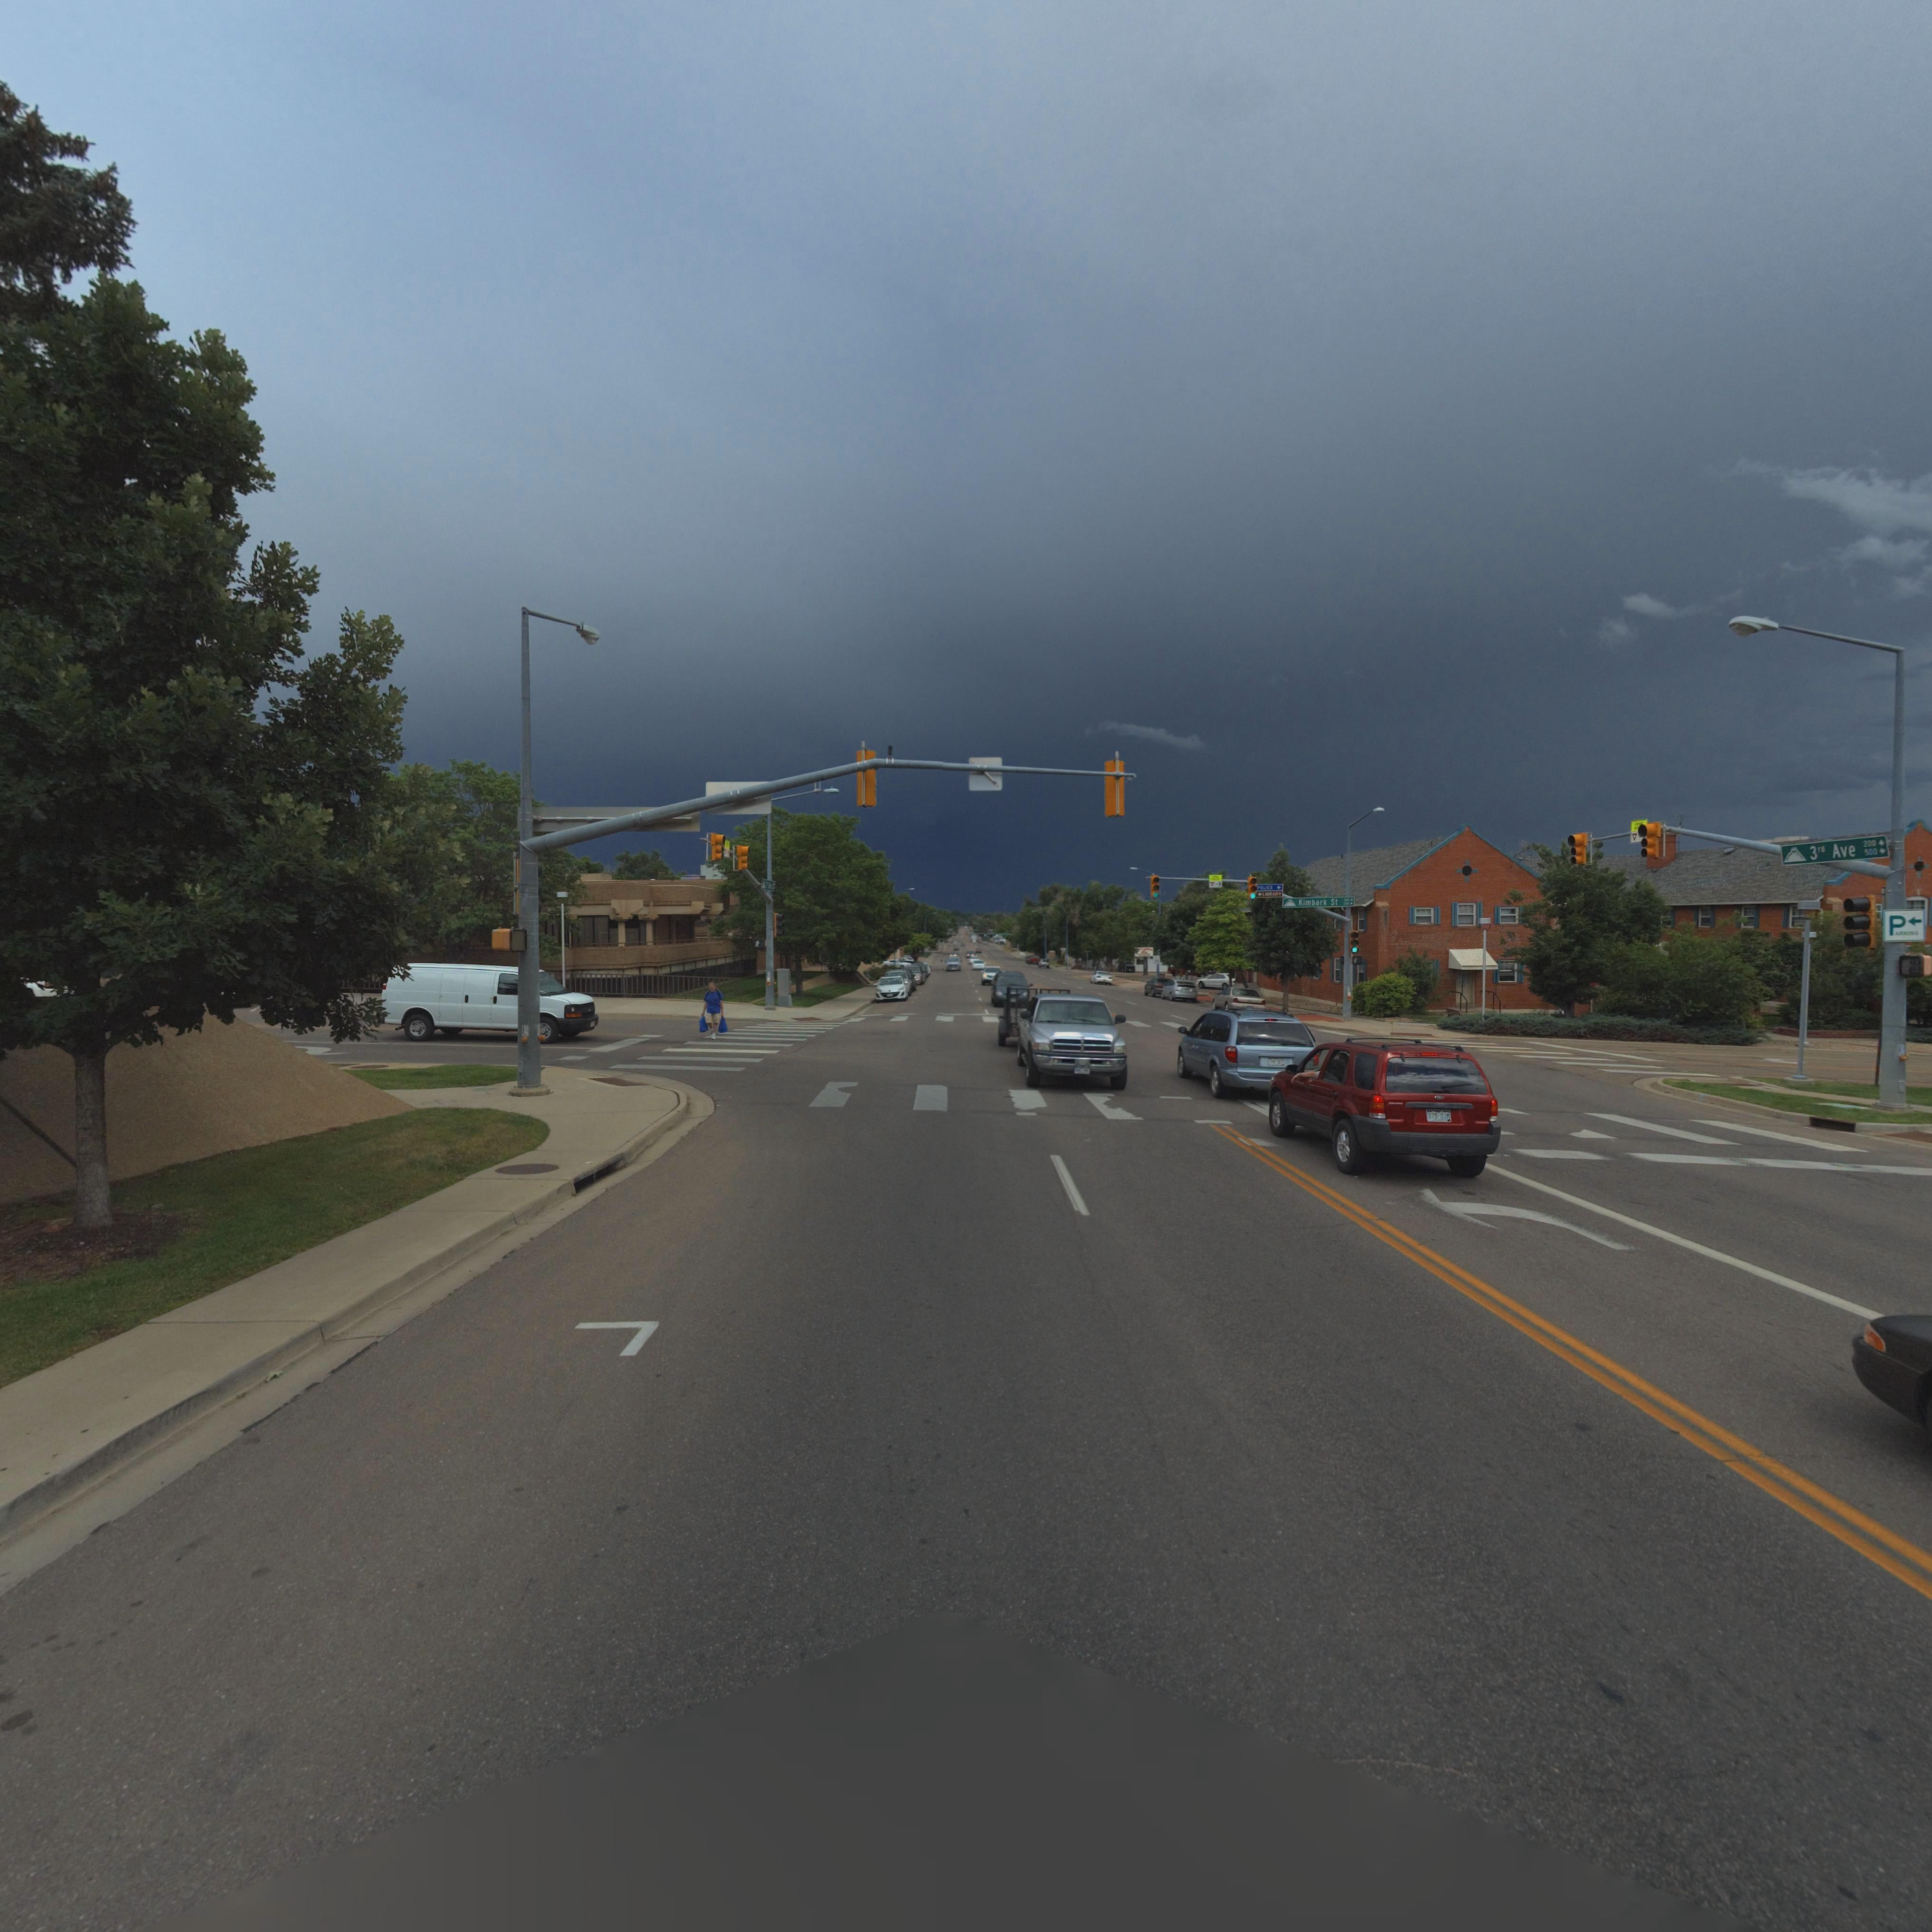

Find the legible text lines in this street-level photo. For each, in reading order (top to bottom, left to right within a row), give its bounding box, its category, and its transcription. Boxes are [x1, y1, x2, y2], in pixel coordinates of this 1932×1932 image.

[1863, 839, 1876, 847] StreetNumberRange: 200
[1809, 843, 1855, 860] BusinessName: 3rd Ave
[1864, 848, 1886, 856] StreetNumberRange: 500->
[1298, 898, 1338, 906] StreetName: Kimbark St